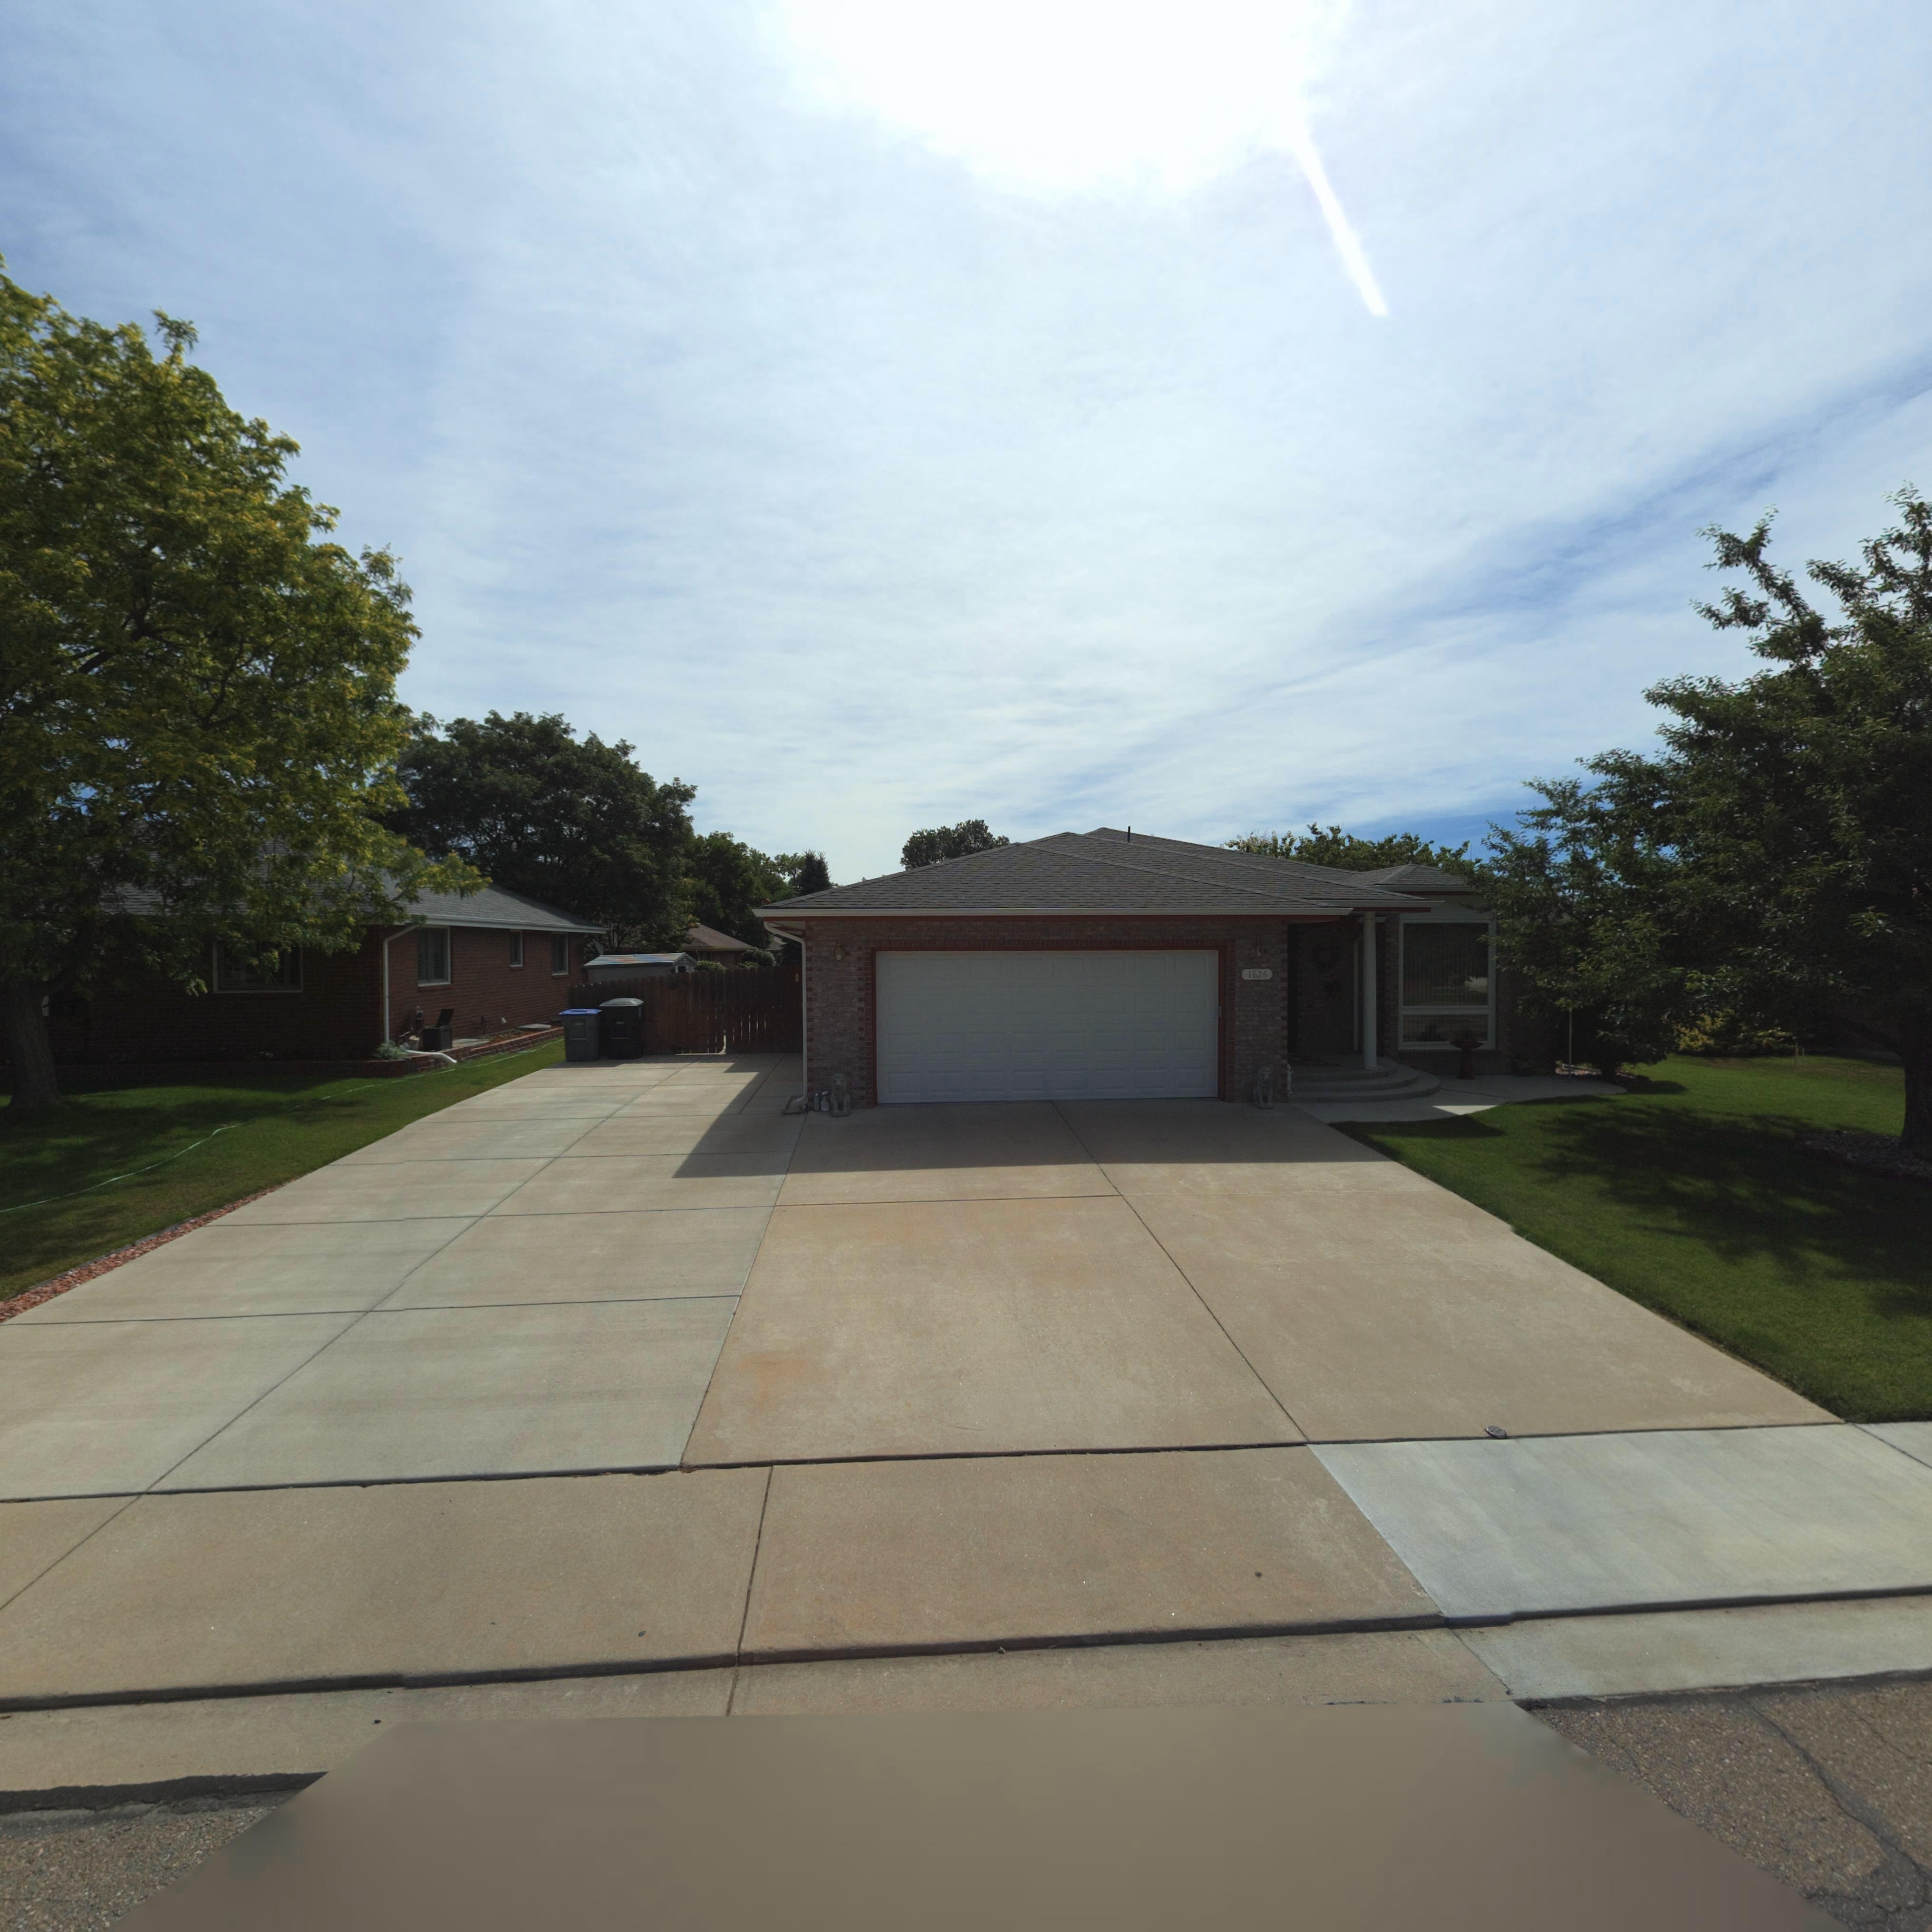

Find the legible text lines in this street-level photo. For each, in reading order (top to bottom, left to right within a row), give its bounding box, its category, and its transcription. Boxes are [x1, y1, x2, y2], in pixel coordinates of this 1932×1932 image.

[1248, 970, 1267, 978] StreetNumber: 1626